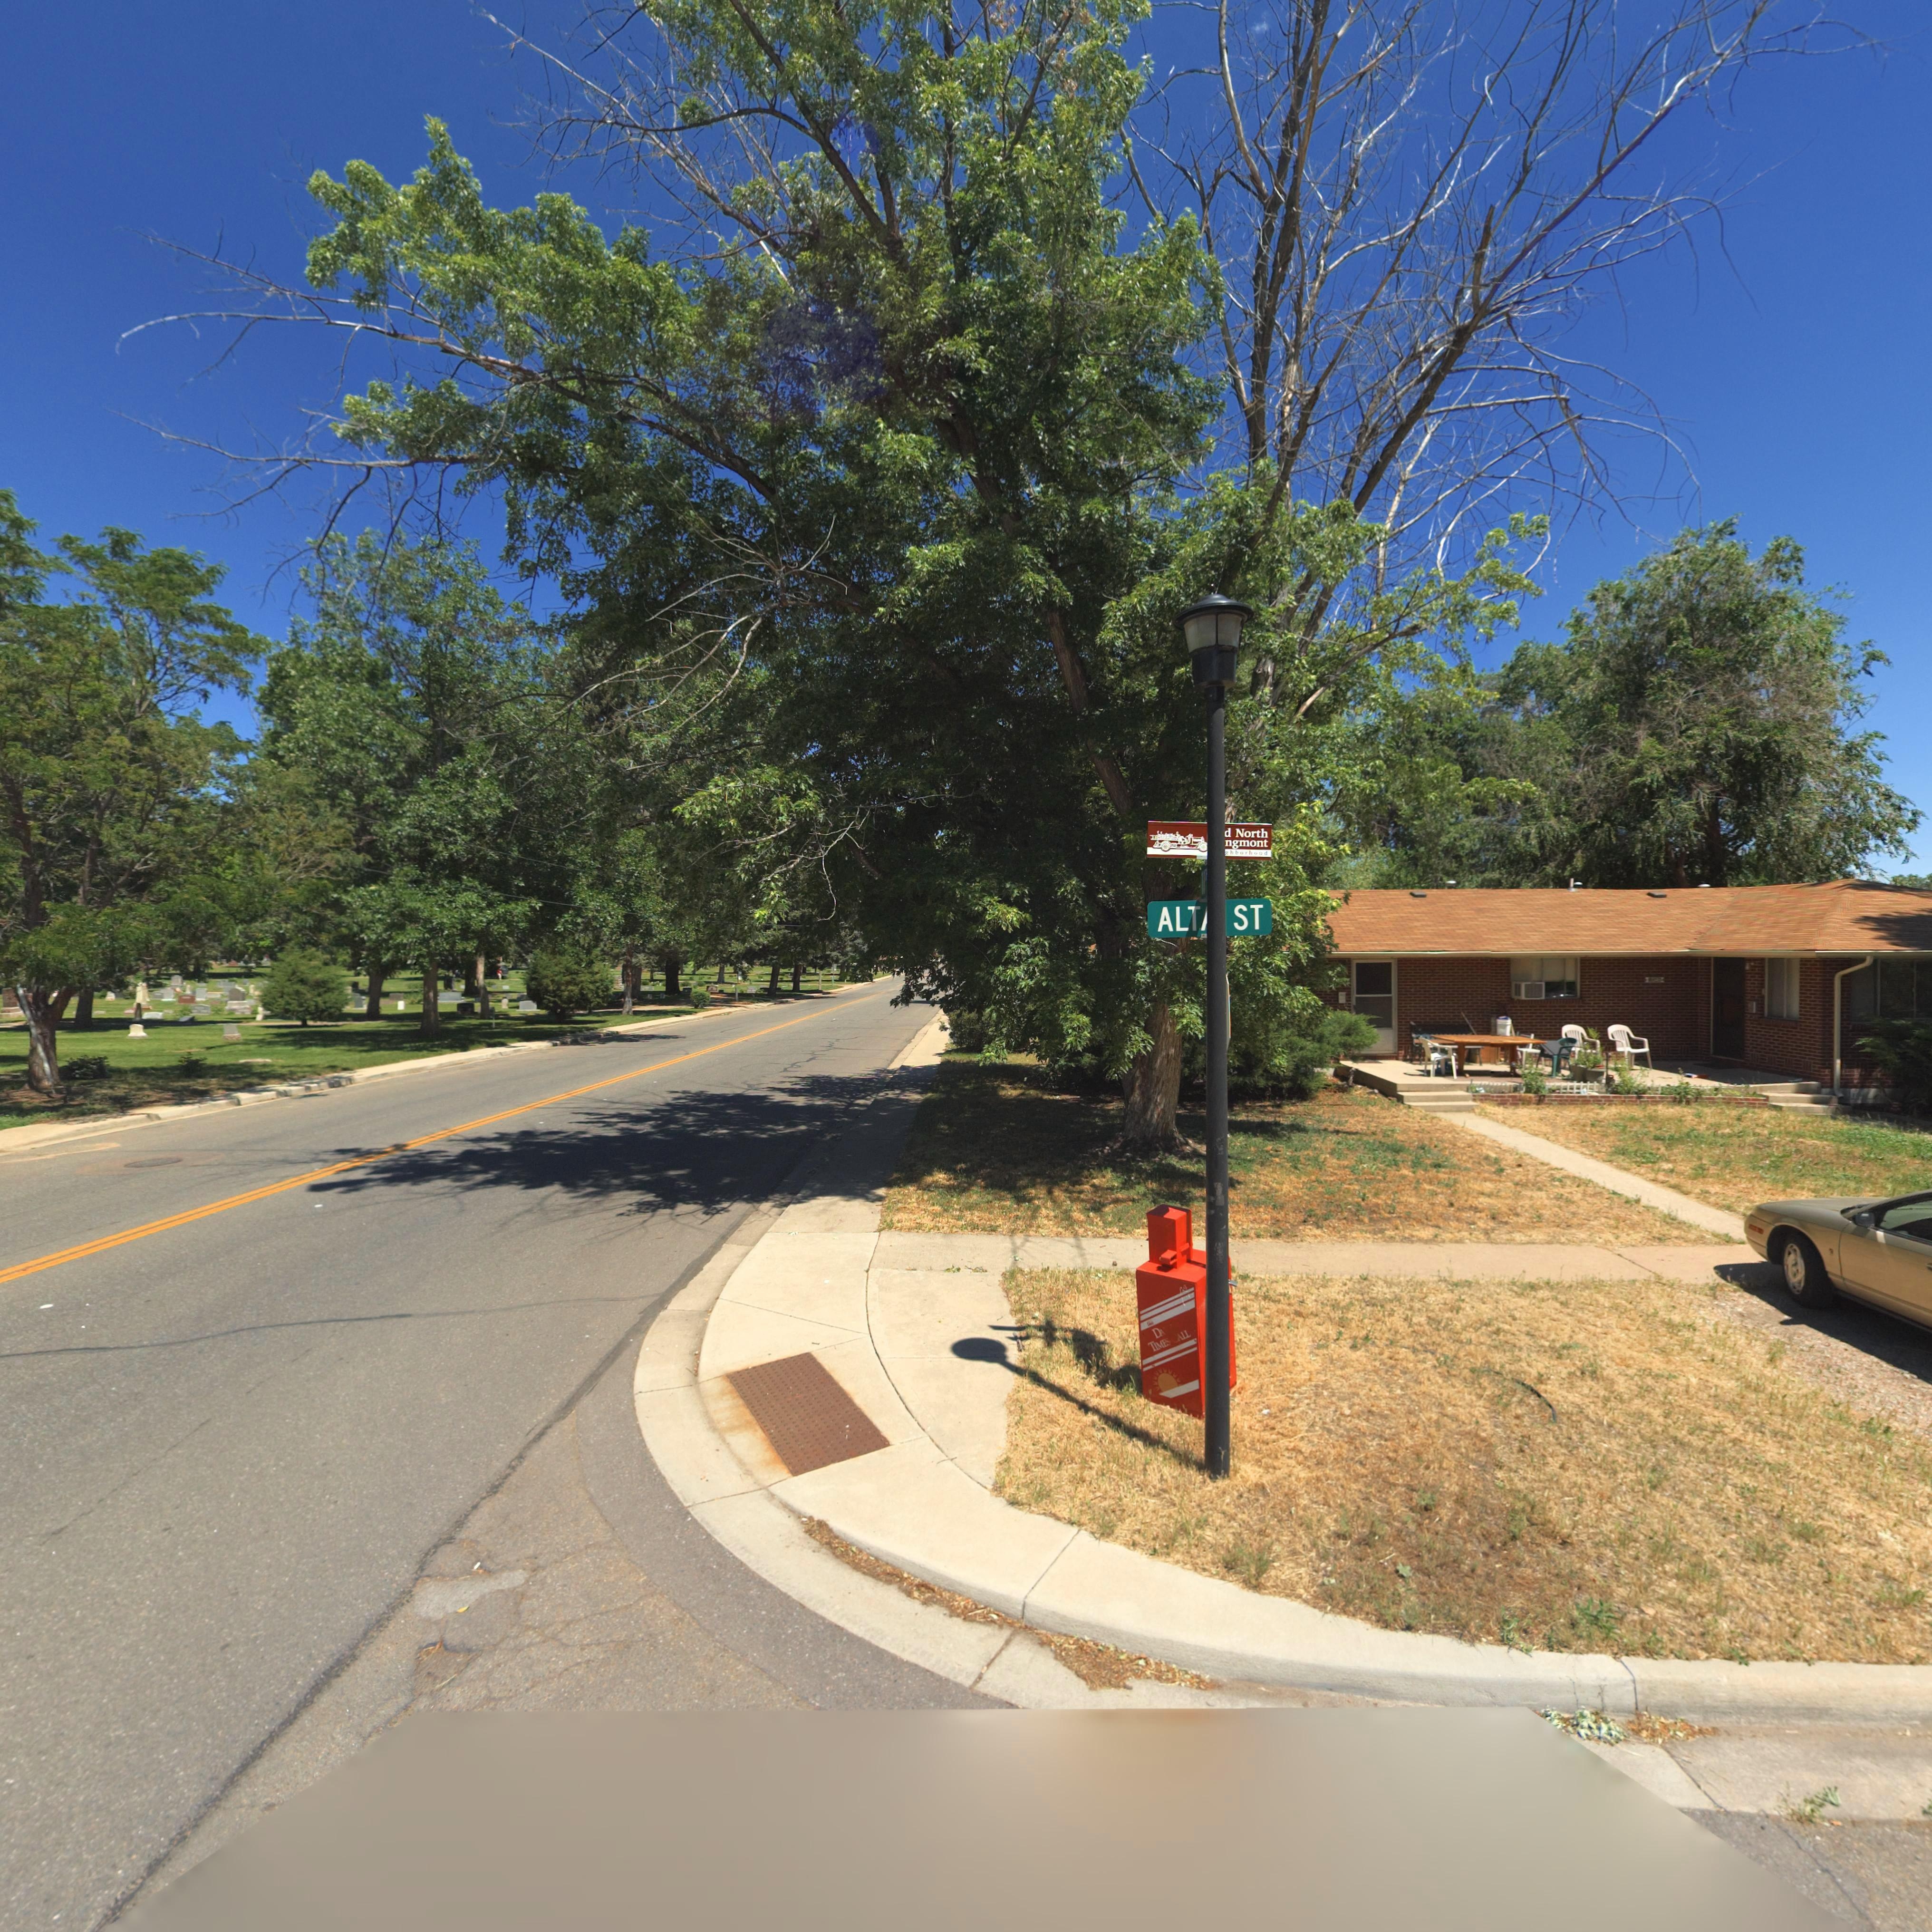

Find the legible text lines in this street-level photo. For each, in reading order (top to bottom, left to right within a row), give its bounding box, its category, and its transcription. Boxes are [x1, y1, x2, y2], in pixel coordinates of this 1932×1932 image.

[1157, 904, 1264, 932] StreetName: ALT* ST